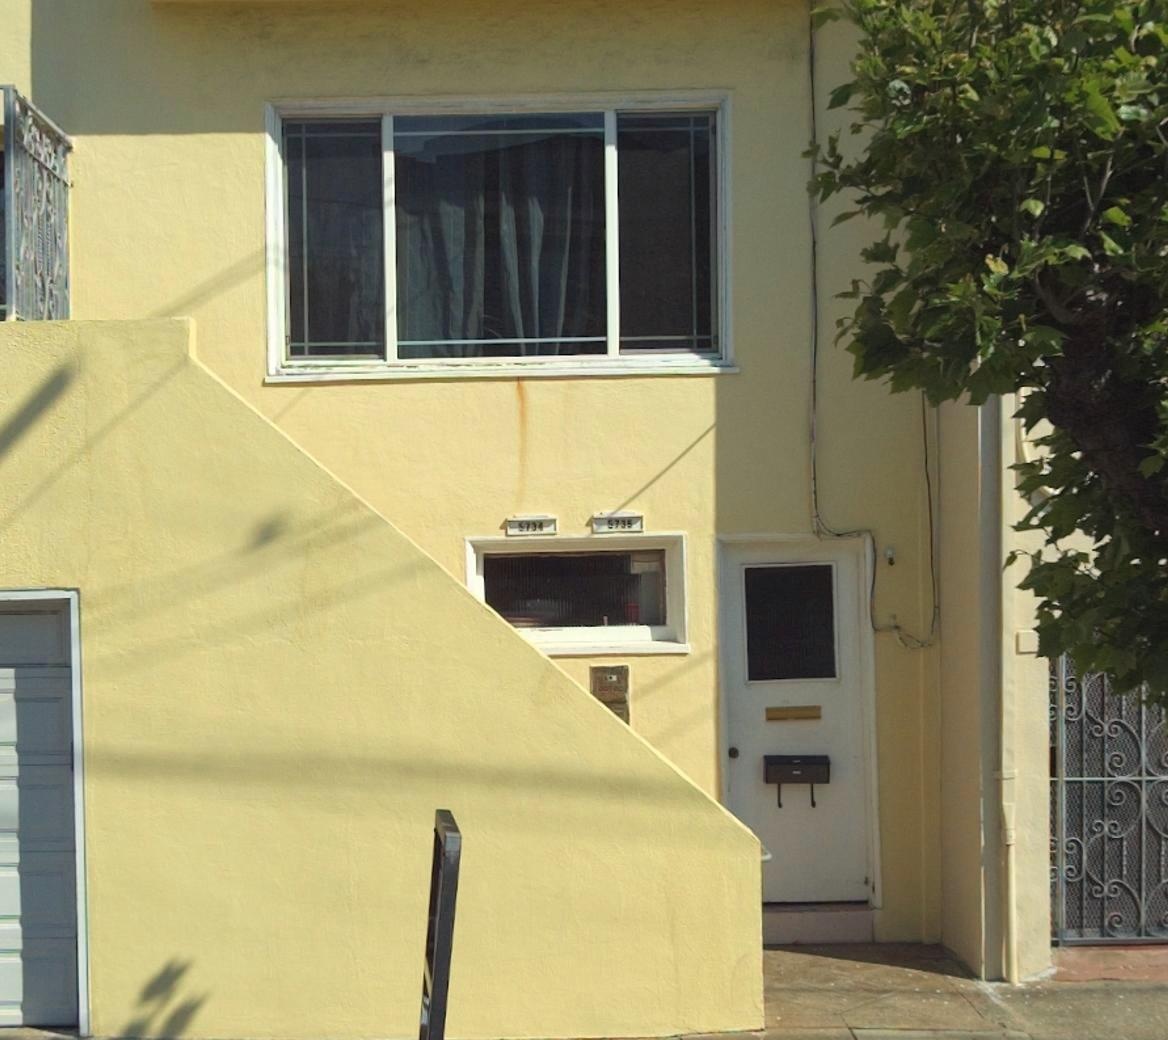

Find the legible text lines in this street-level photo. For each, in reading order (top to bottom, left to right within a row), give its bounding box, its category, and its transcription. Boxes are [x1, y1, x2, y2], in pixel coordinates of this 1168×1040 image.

[515, 520, 544, 533] StreetNumber: 5734
[605, 517, 634, 530] StreetNumber: 5735